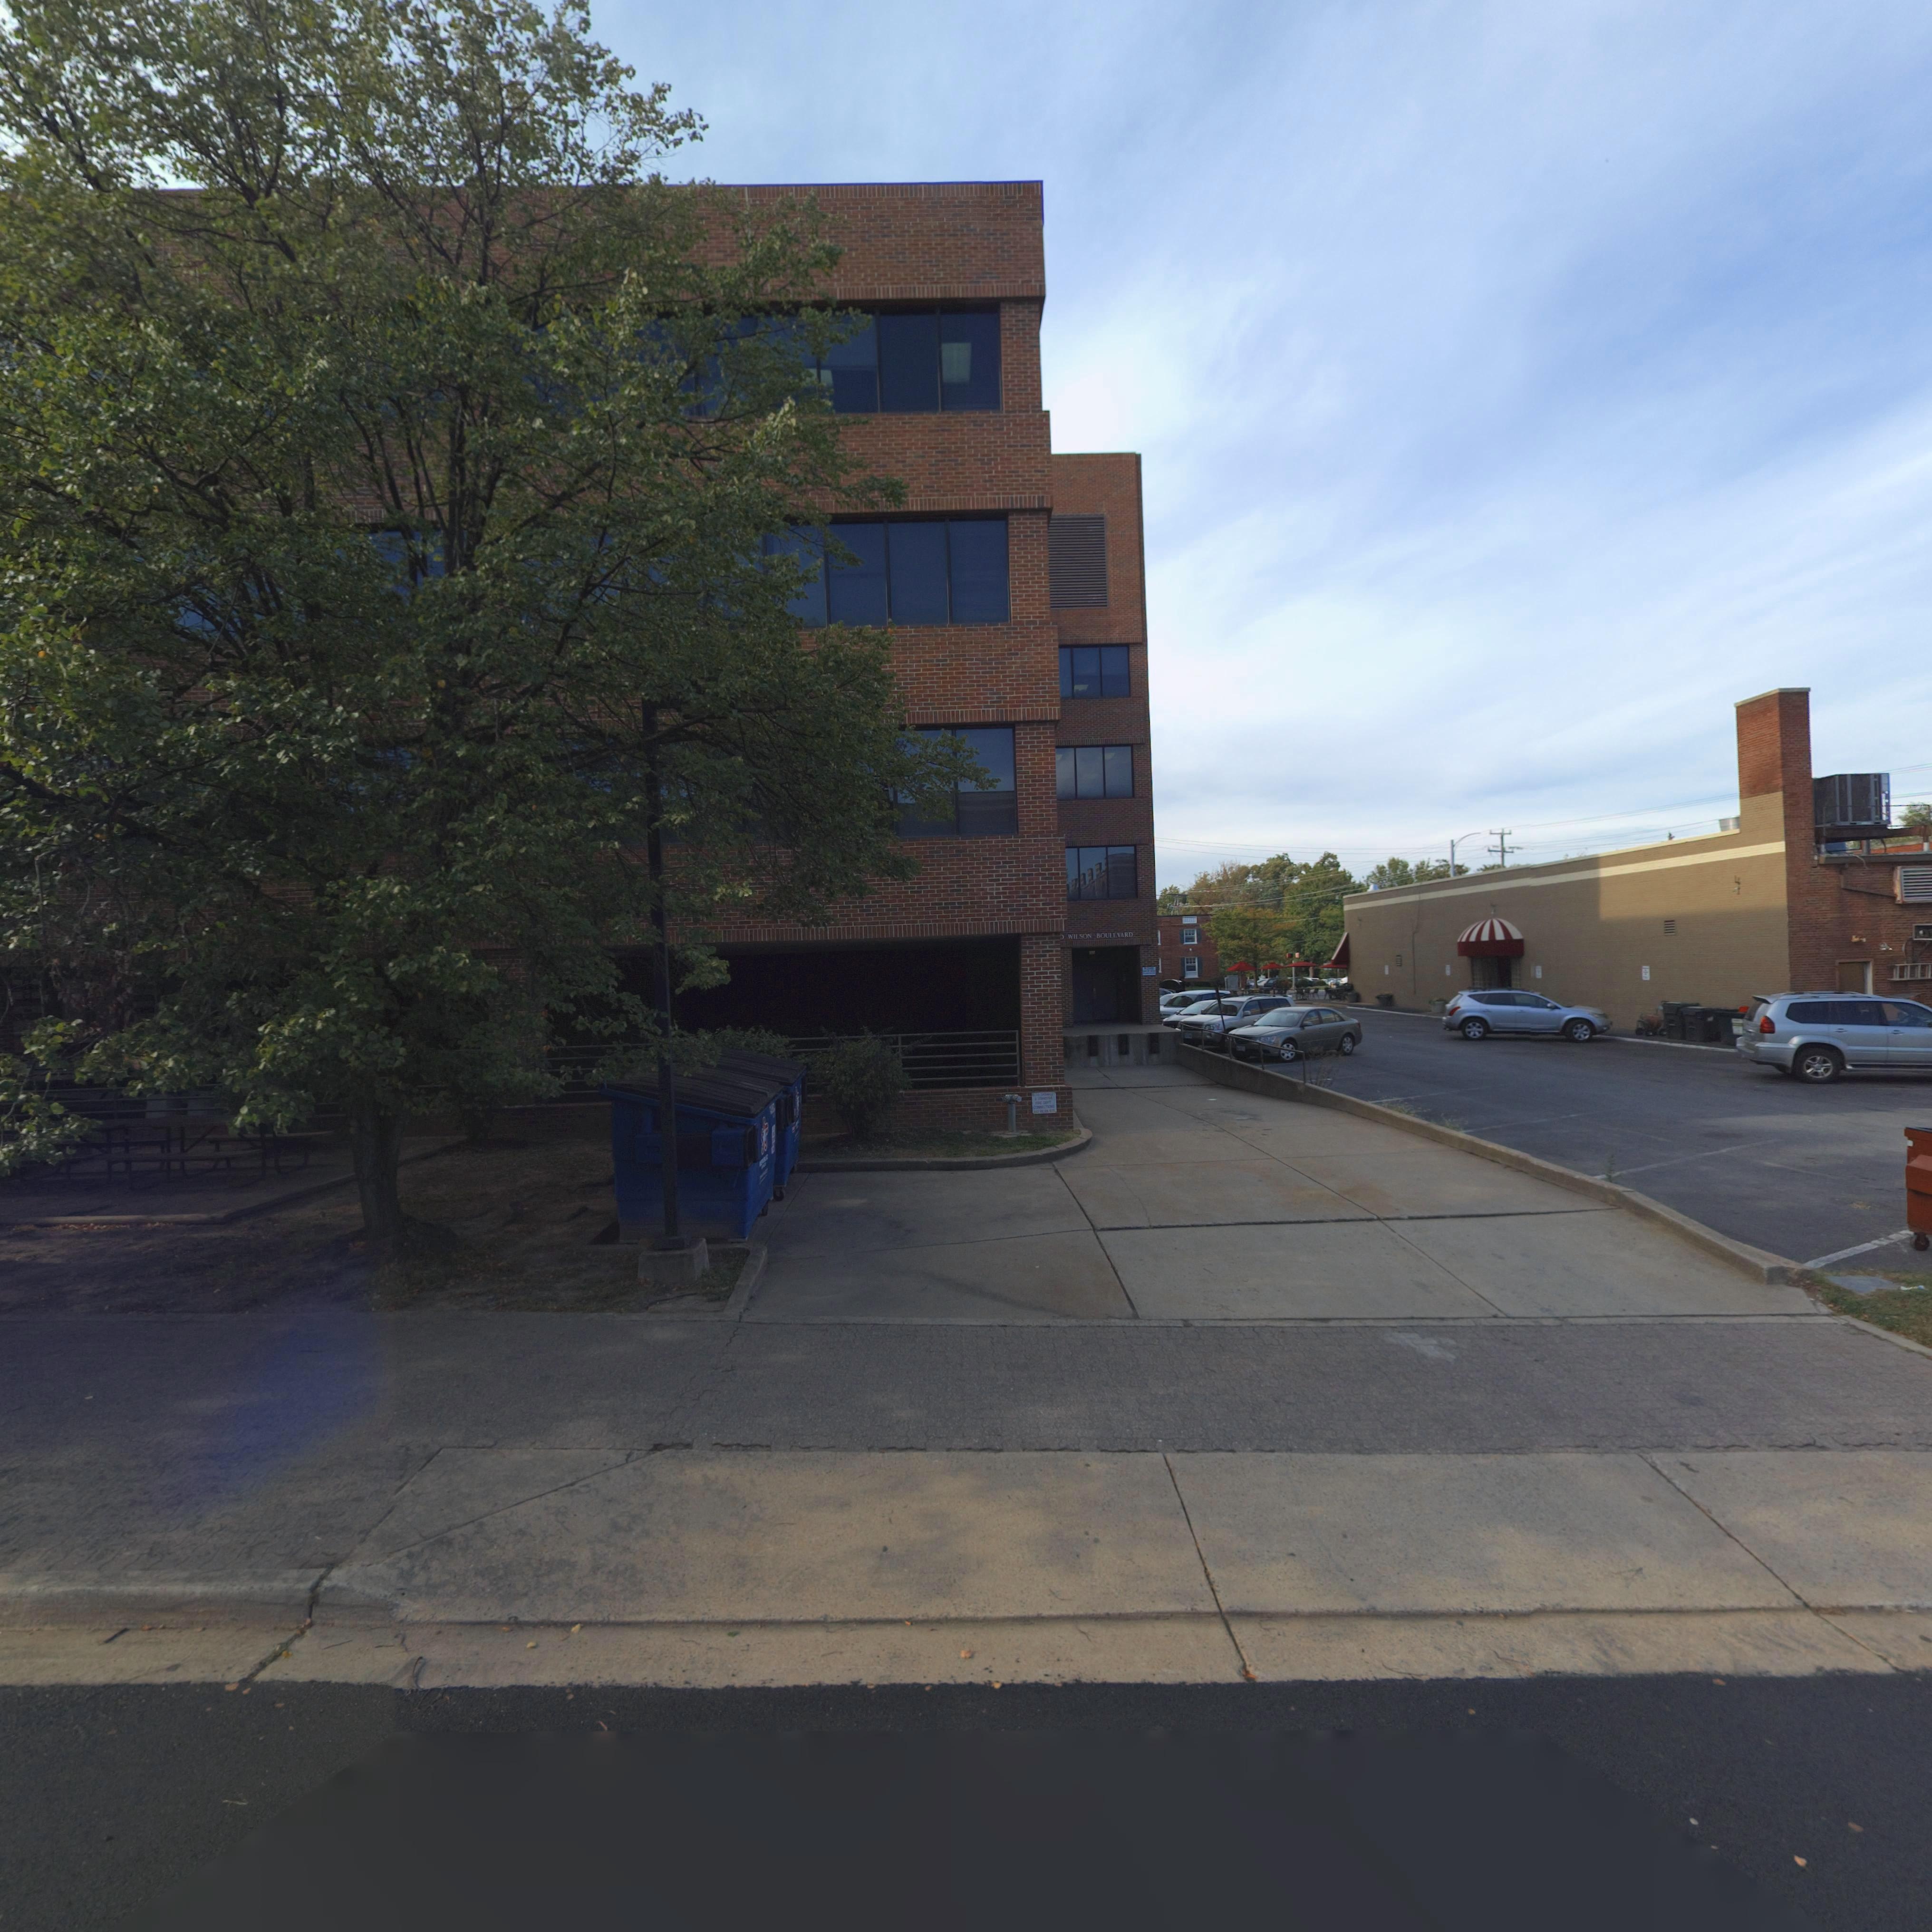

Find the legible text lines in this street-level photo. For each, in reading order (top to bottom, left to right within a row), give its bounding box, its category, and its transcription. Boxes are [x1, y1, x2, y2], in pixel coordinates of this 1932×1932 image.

[1067, 931, 1134, 940] StreetName: WILSON BOULEVARD